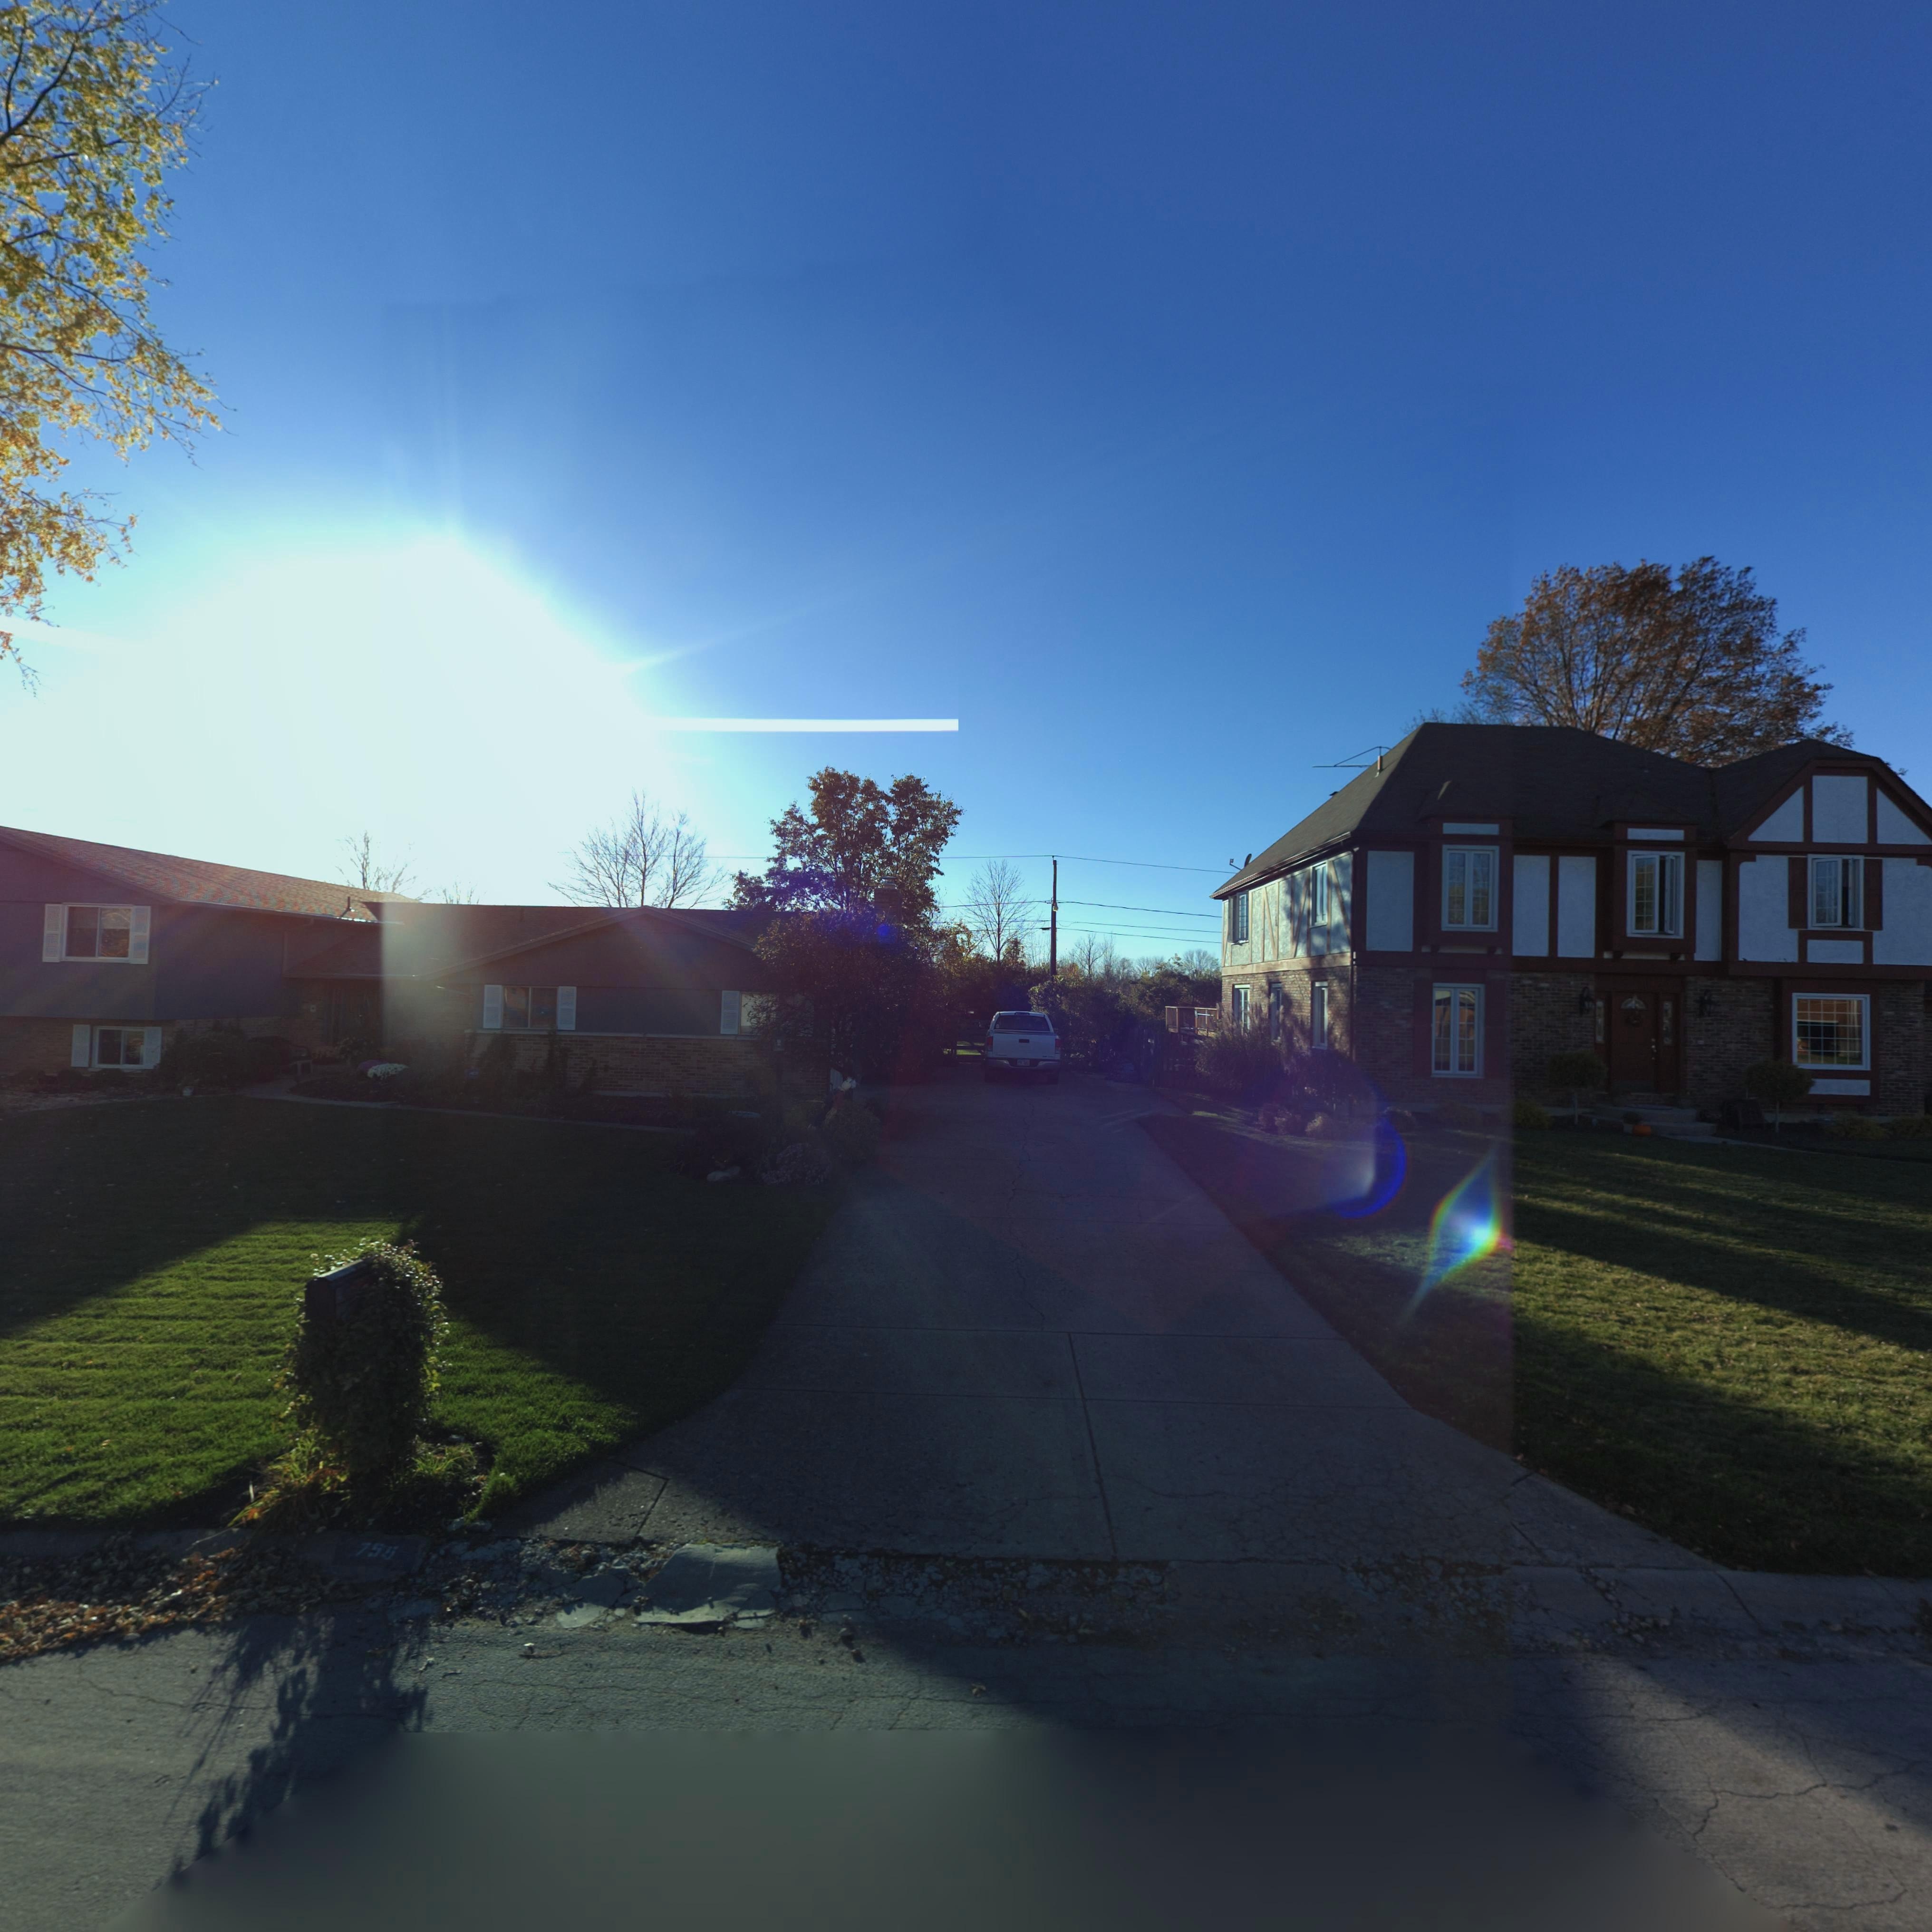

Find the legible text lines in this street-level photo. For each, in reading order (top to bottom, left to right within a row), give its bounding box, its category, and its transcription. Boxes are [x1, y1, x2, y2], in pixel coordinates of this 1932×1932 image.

[352, 1541, 402, 1562] StreetNumber: 75*5